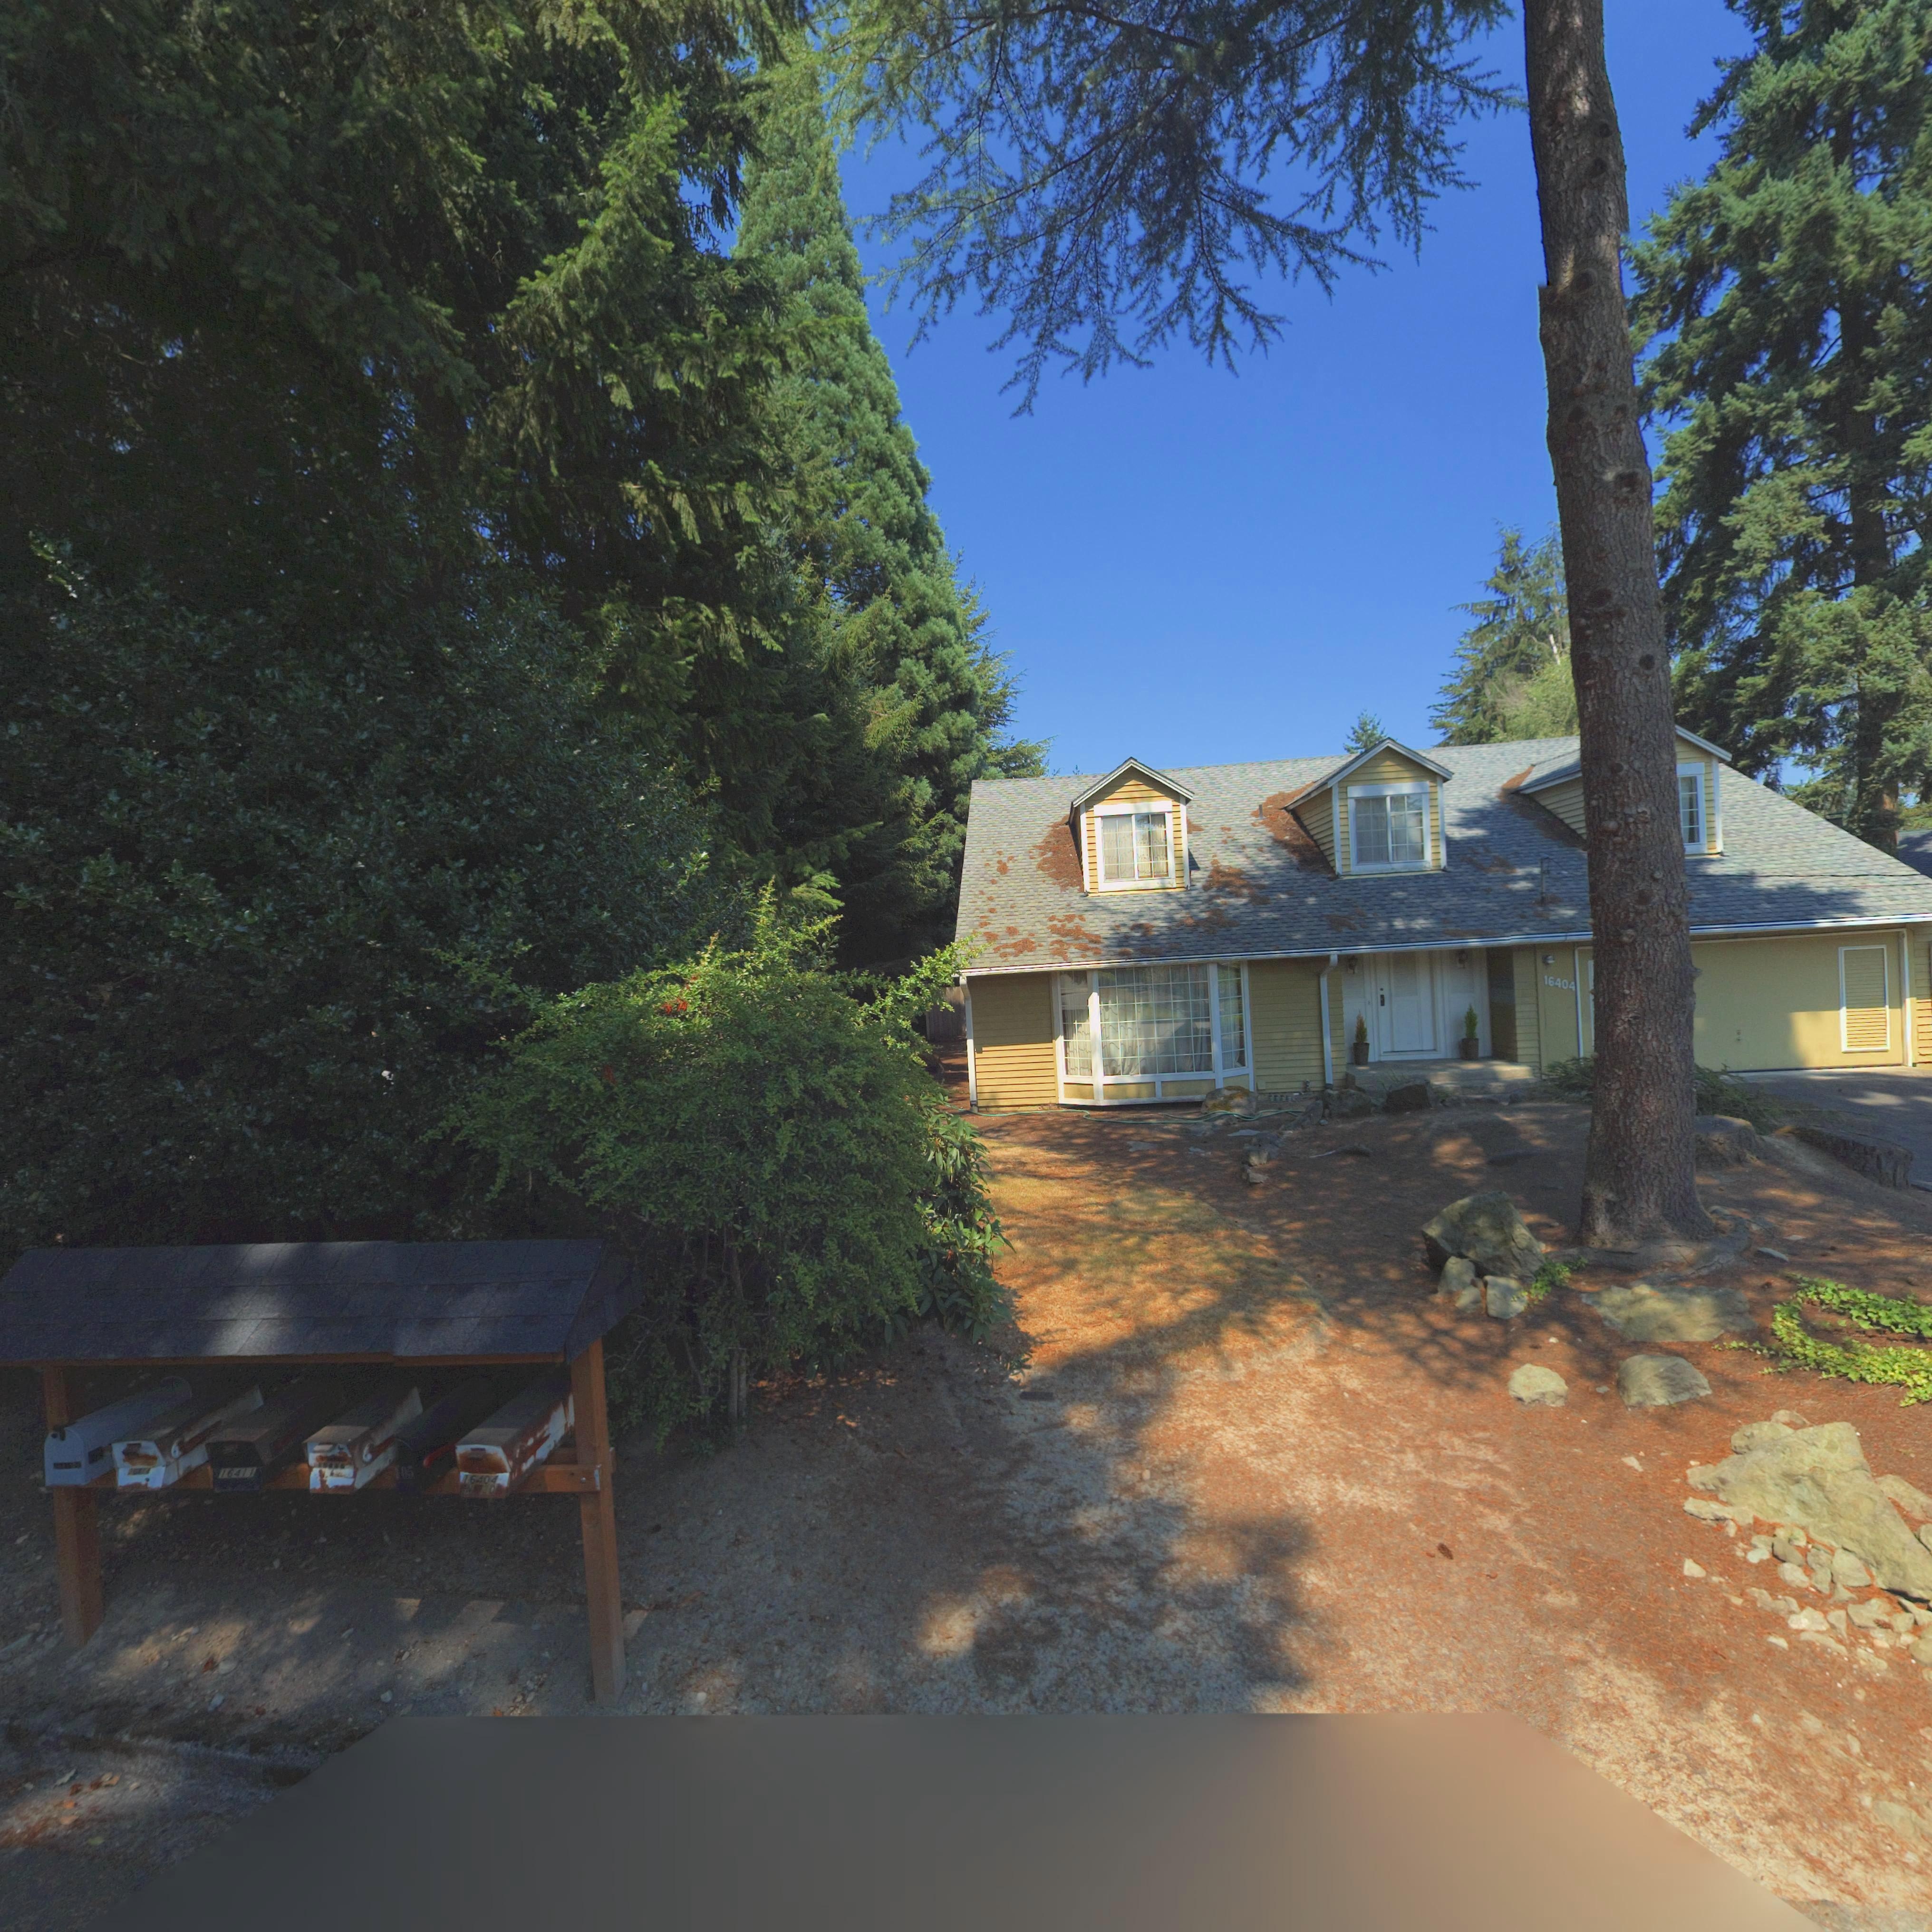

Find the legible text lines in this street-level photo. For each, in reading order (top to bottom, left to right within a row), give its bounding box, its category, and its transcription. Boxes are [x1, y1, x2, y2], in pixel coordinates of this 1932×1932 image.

[1545, 975, 1575, 991] StreetNumber: 16404
[220, 1467, 255, 1478] StreetNumber: 15411
[400, 1465, 414, 1479] StreetNumber: 05
[462, 1475, 498, 1485] StreetNumber: 16404